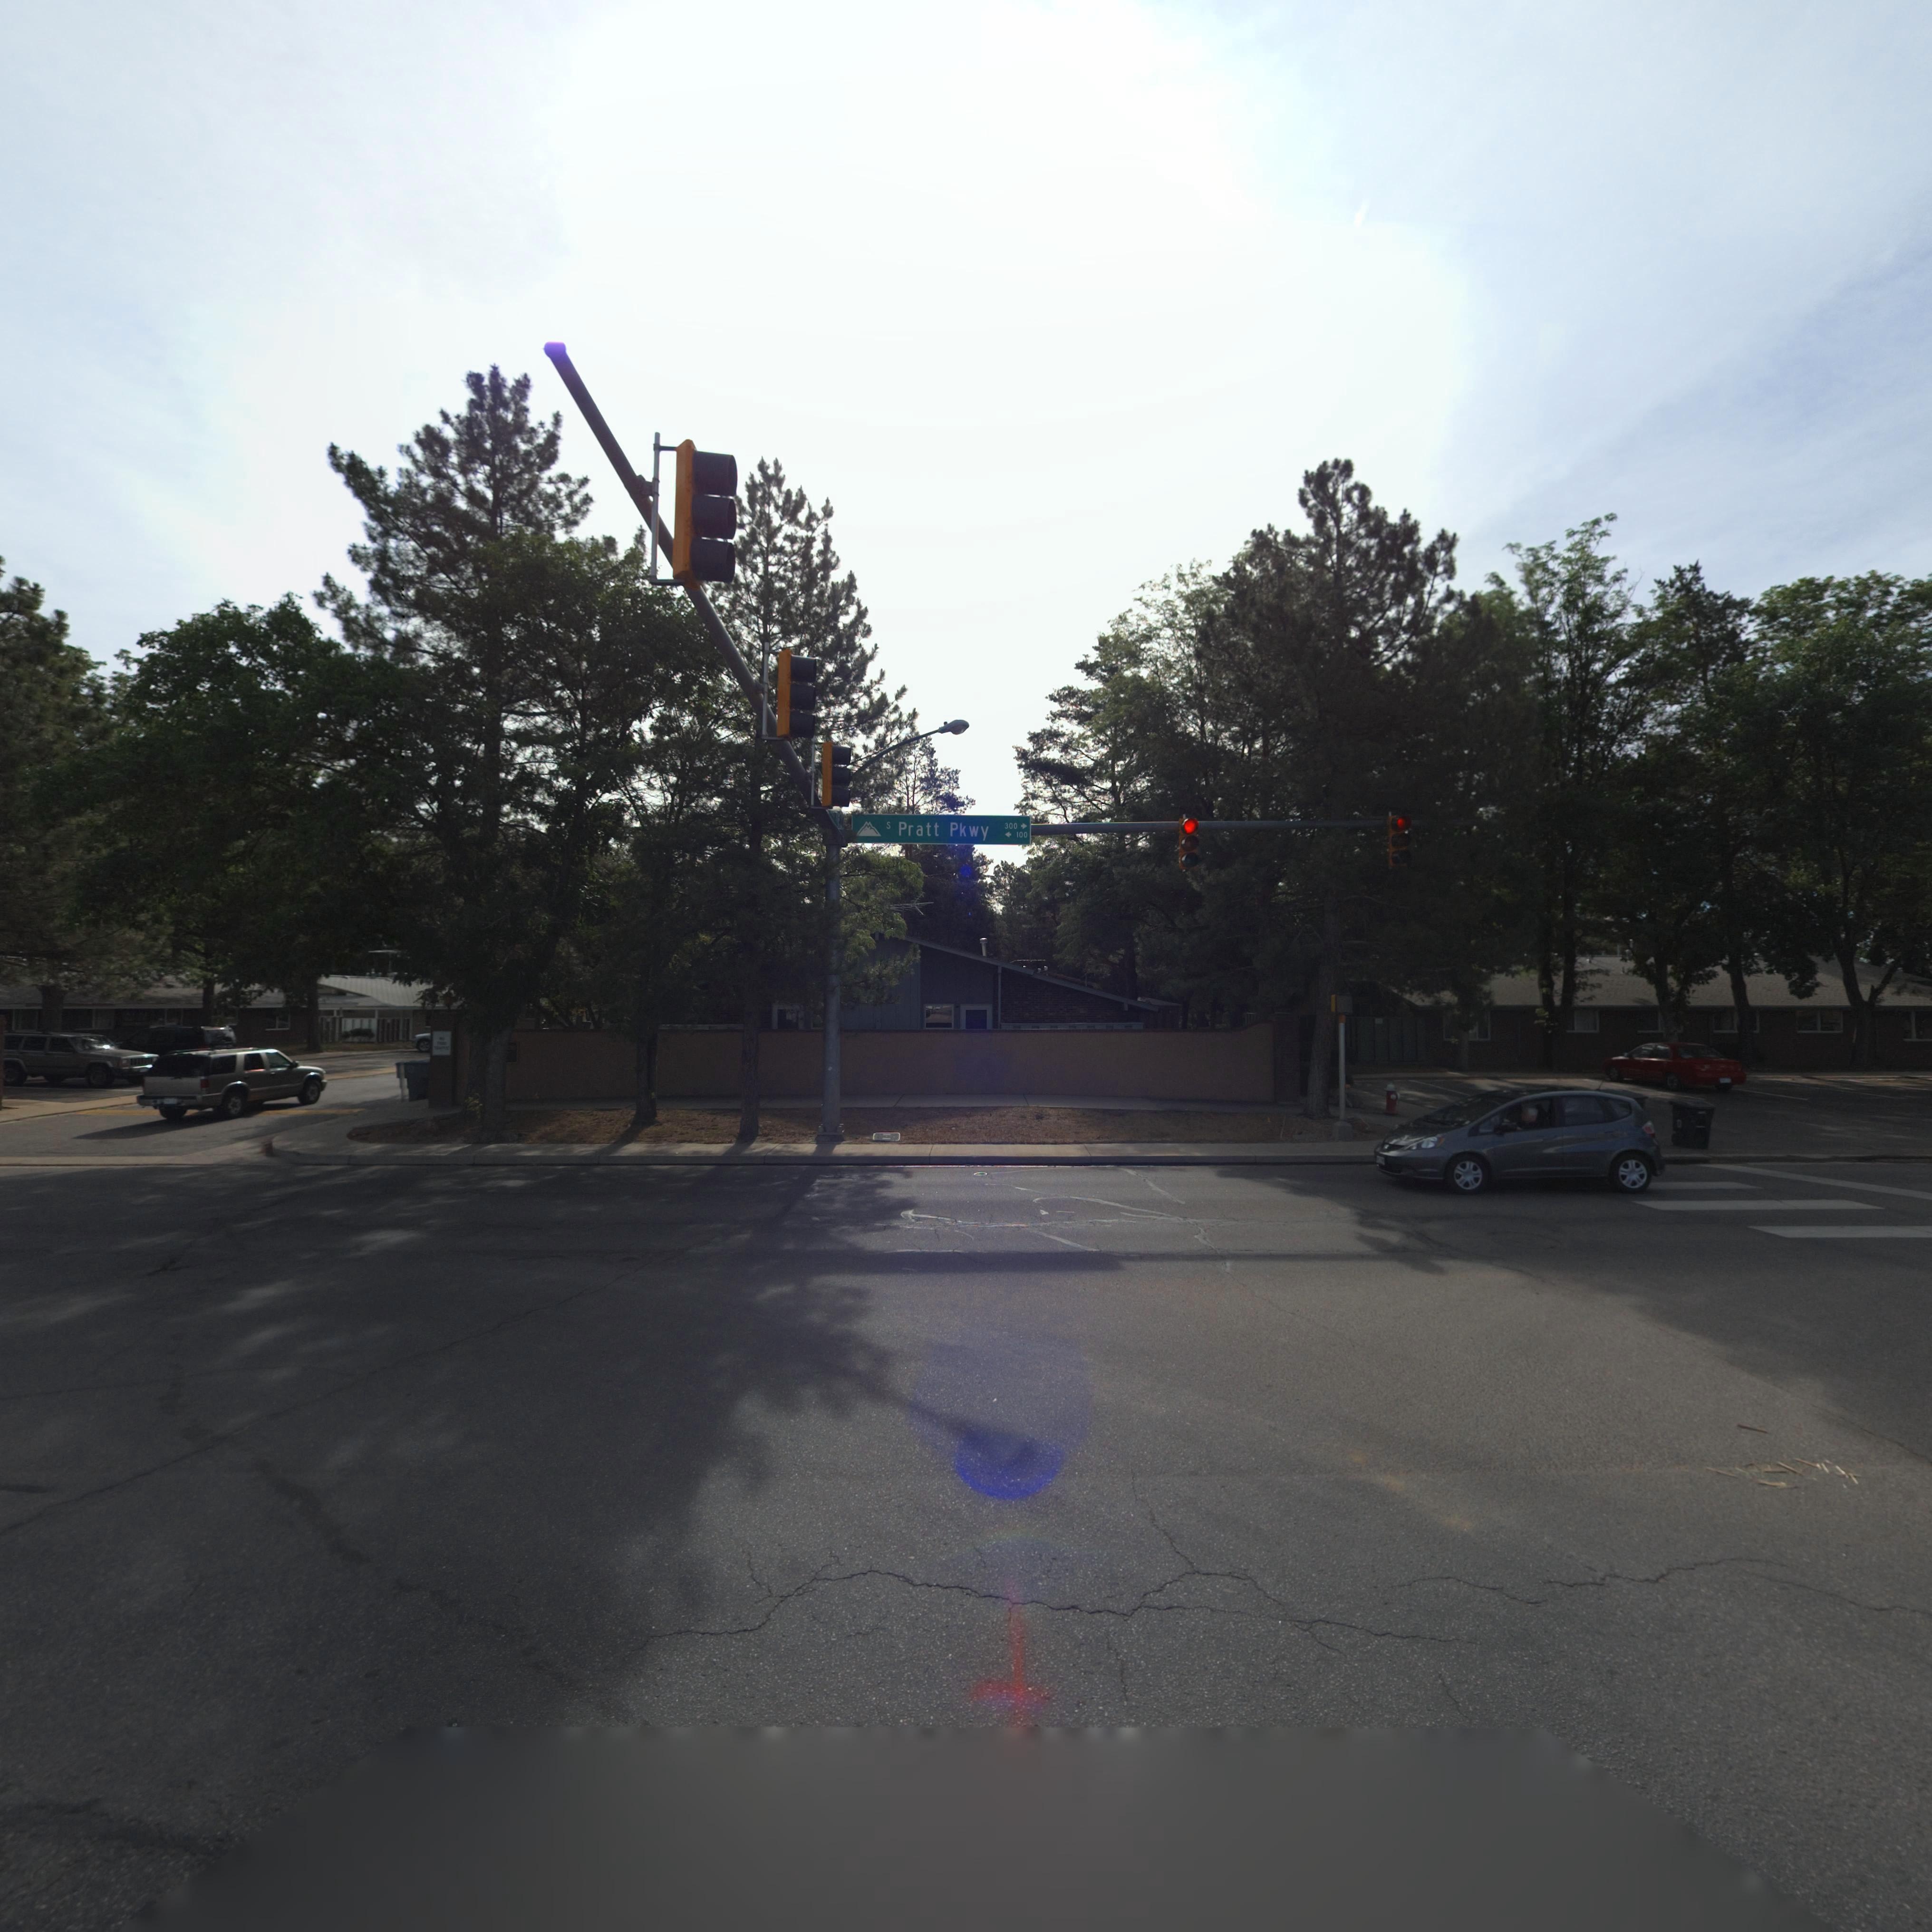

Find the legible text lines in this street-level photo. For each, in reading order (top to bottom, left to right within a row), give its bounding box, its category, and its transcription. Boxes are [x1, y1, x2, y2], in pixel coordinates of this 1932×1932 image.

[1004, 821, 1028, 830] StreetNumberRange: 300->
[885, 820, 990, 841] StreetName: S Pratt Pkwy
[1004, 830, 1028, 839] StreetNumberRange: <-100